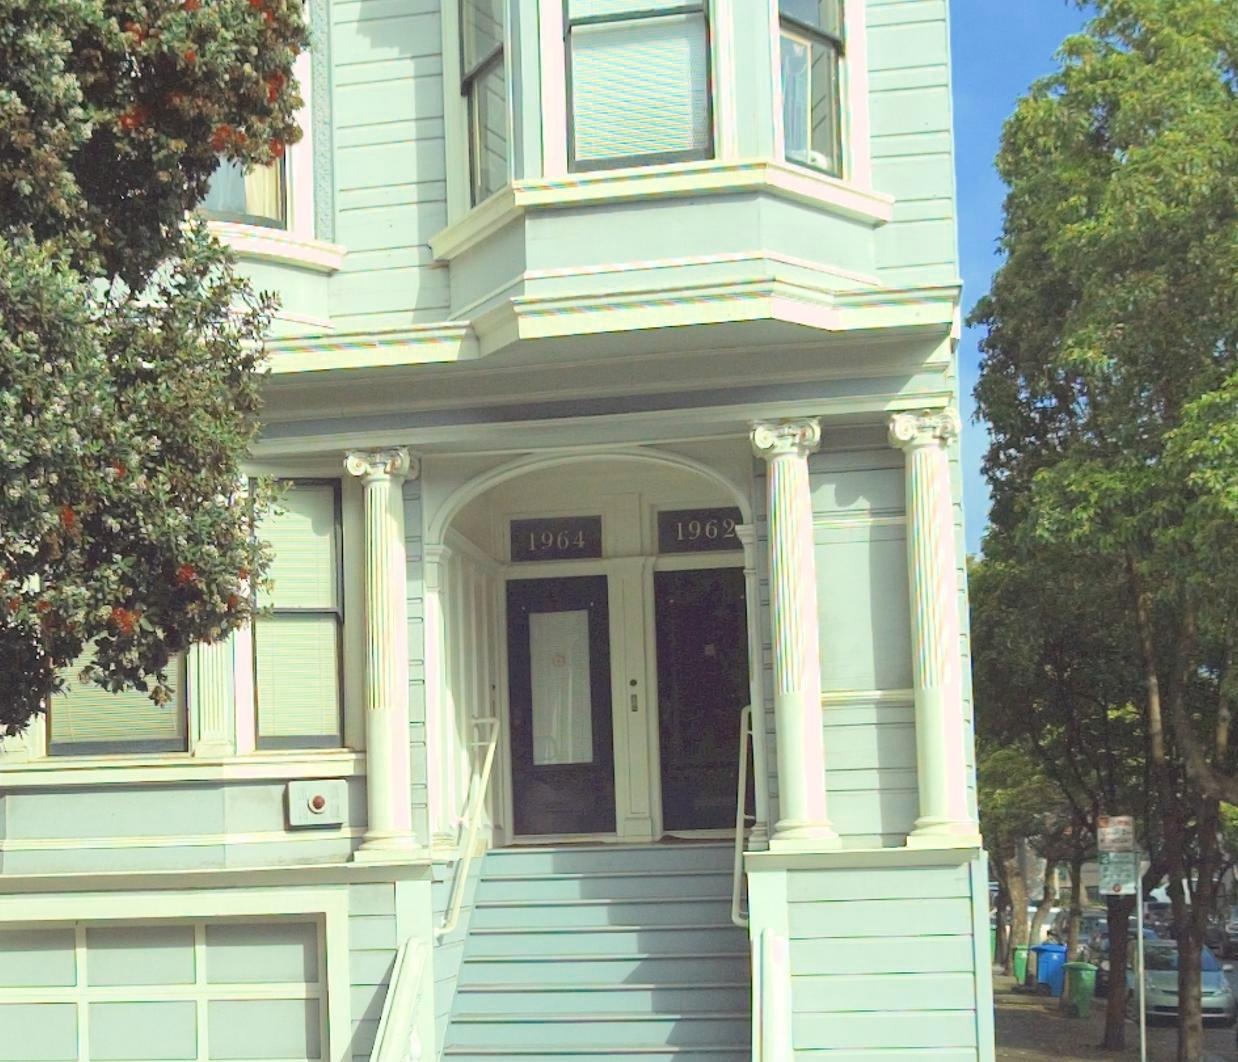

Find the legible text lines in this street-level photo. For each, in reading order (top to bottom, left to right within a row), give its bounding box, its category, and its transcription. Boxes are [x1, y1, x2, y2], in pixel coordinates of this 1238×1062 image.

[527, 527, 587, 553] StreetNumber: 1964
[674, 516, 737, 543] StreetNumber: 1962